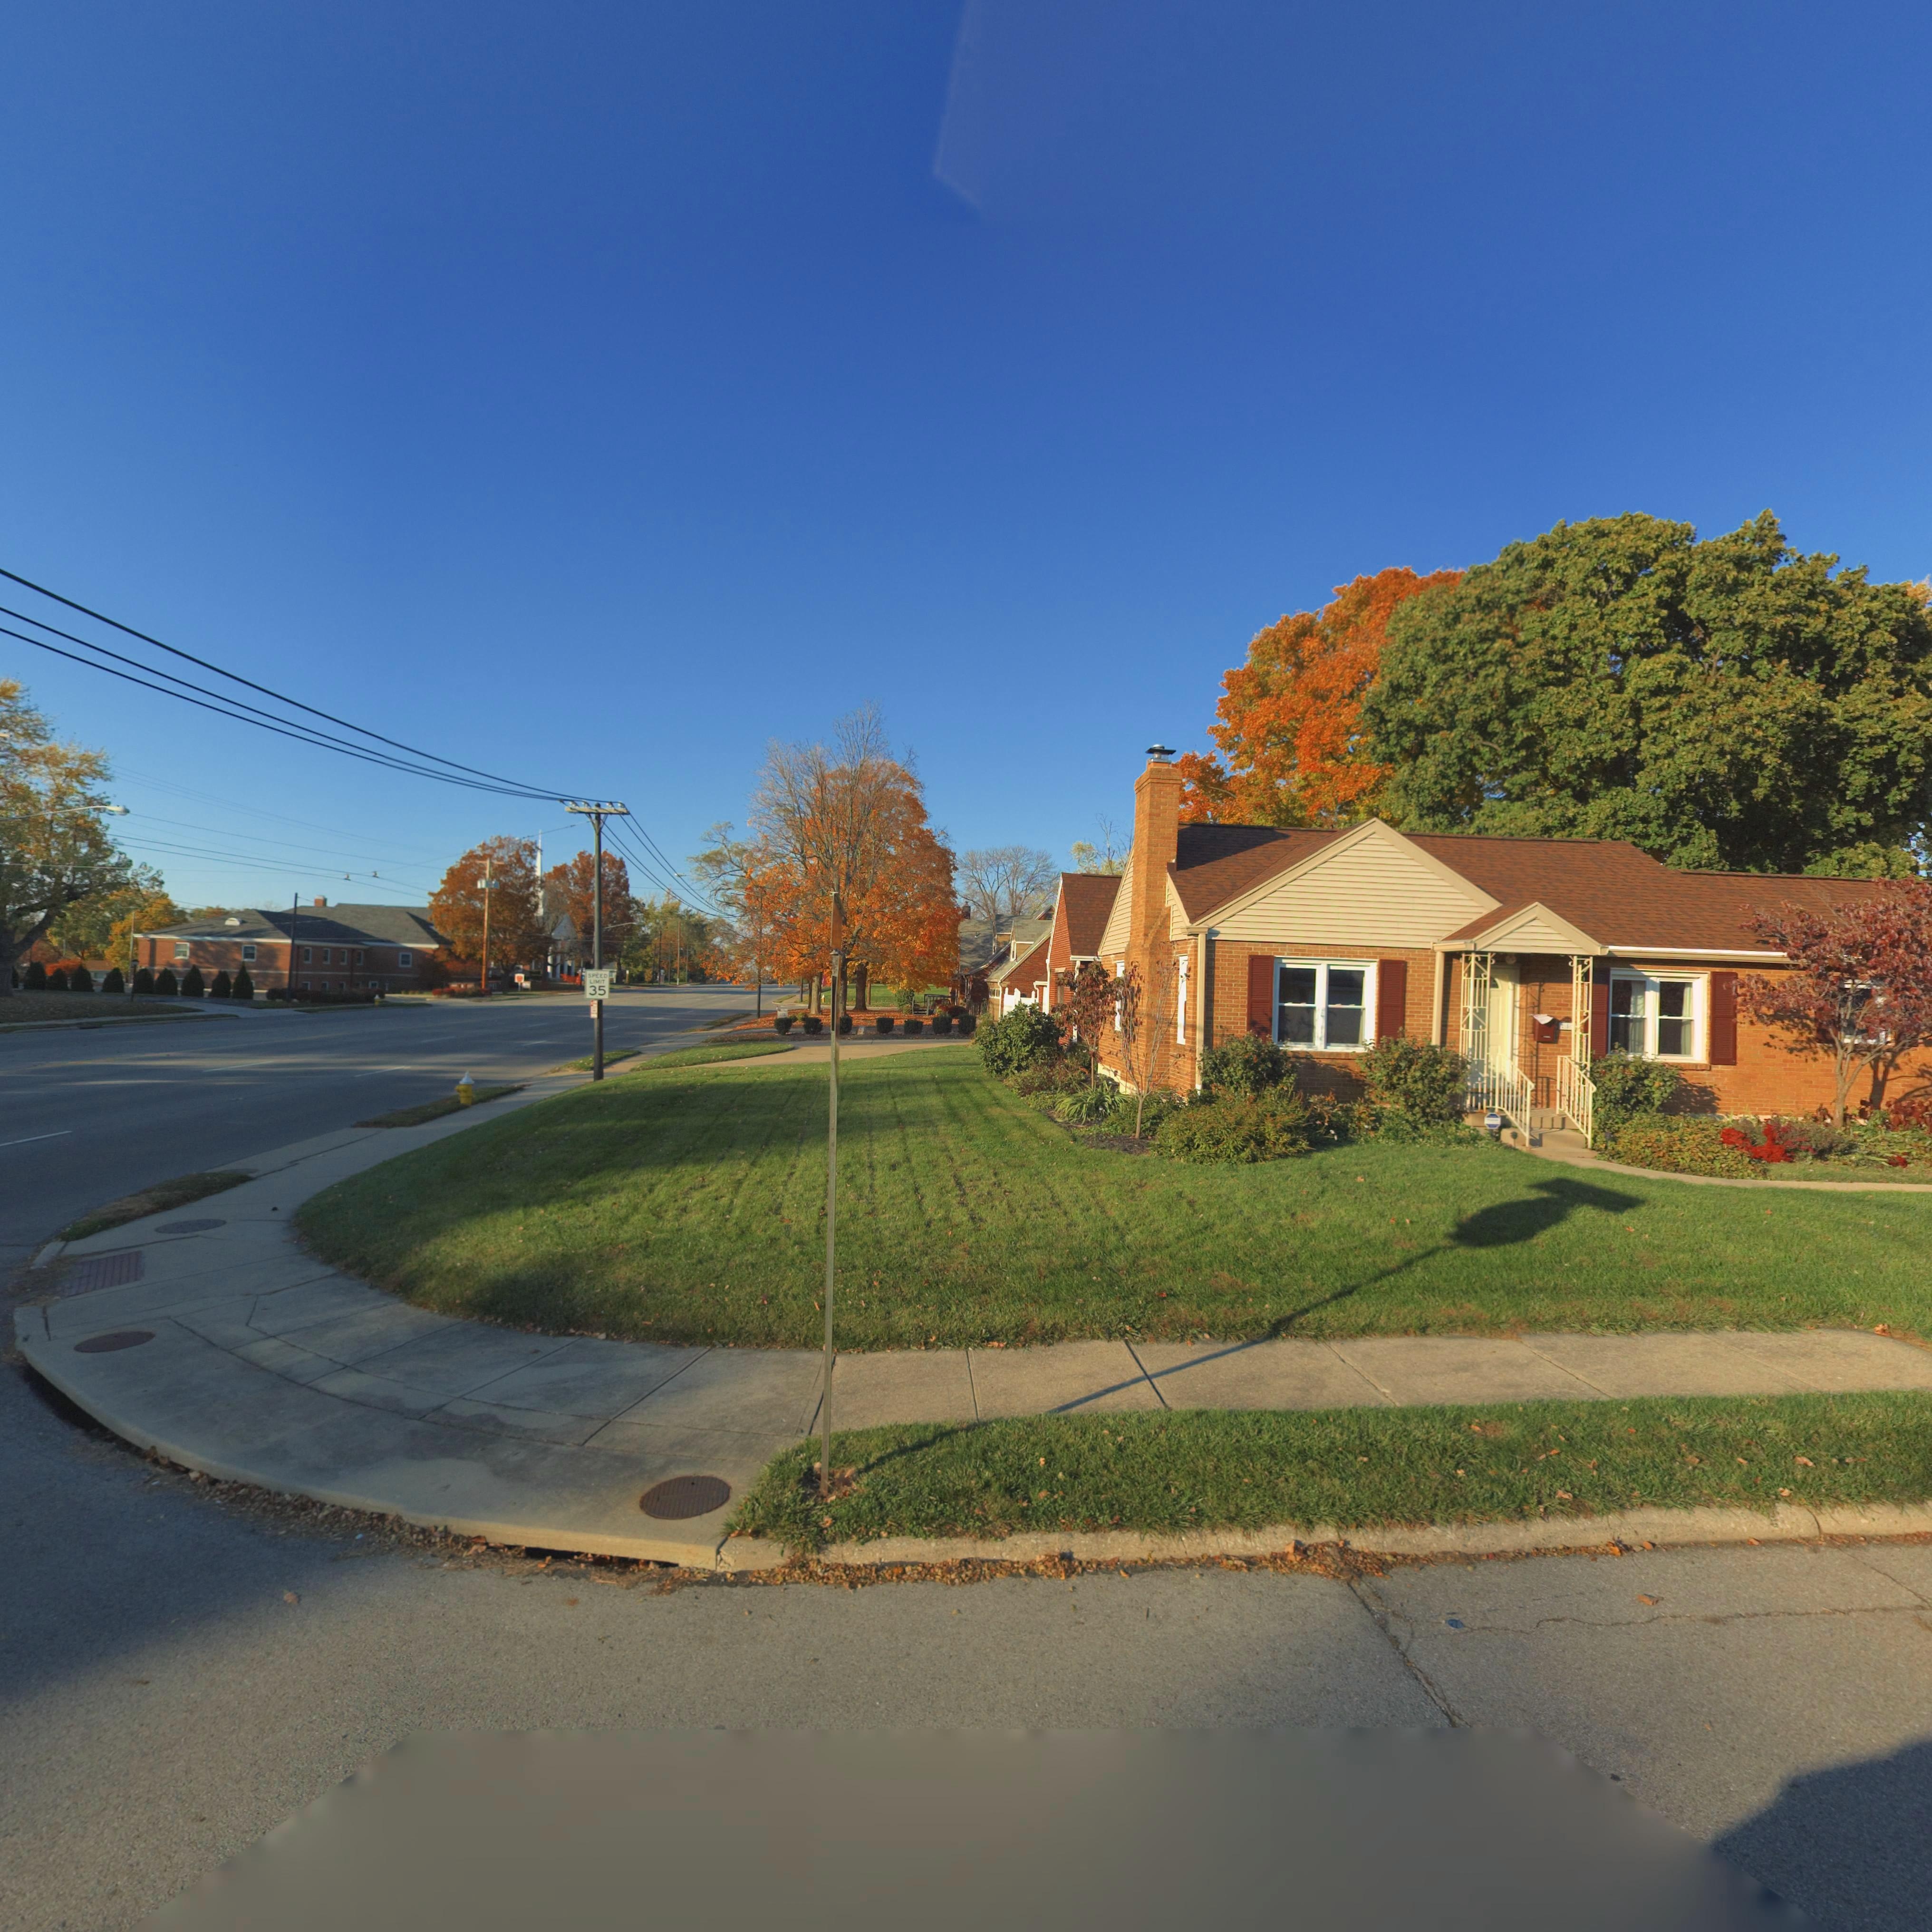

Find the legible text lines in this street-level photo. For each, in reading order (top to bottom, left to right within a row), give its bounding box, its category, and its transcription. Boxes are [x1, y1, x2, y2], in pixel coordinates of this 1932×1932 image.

[1560, 1024, 1574, 1029] StreetNumber: 2**